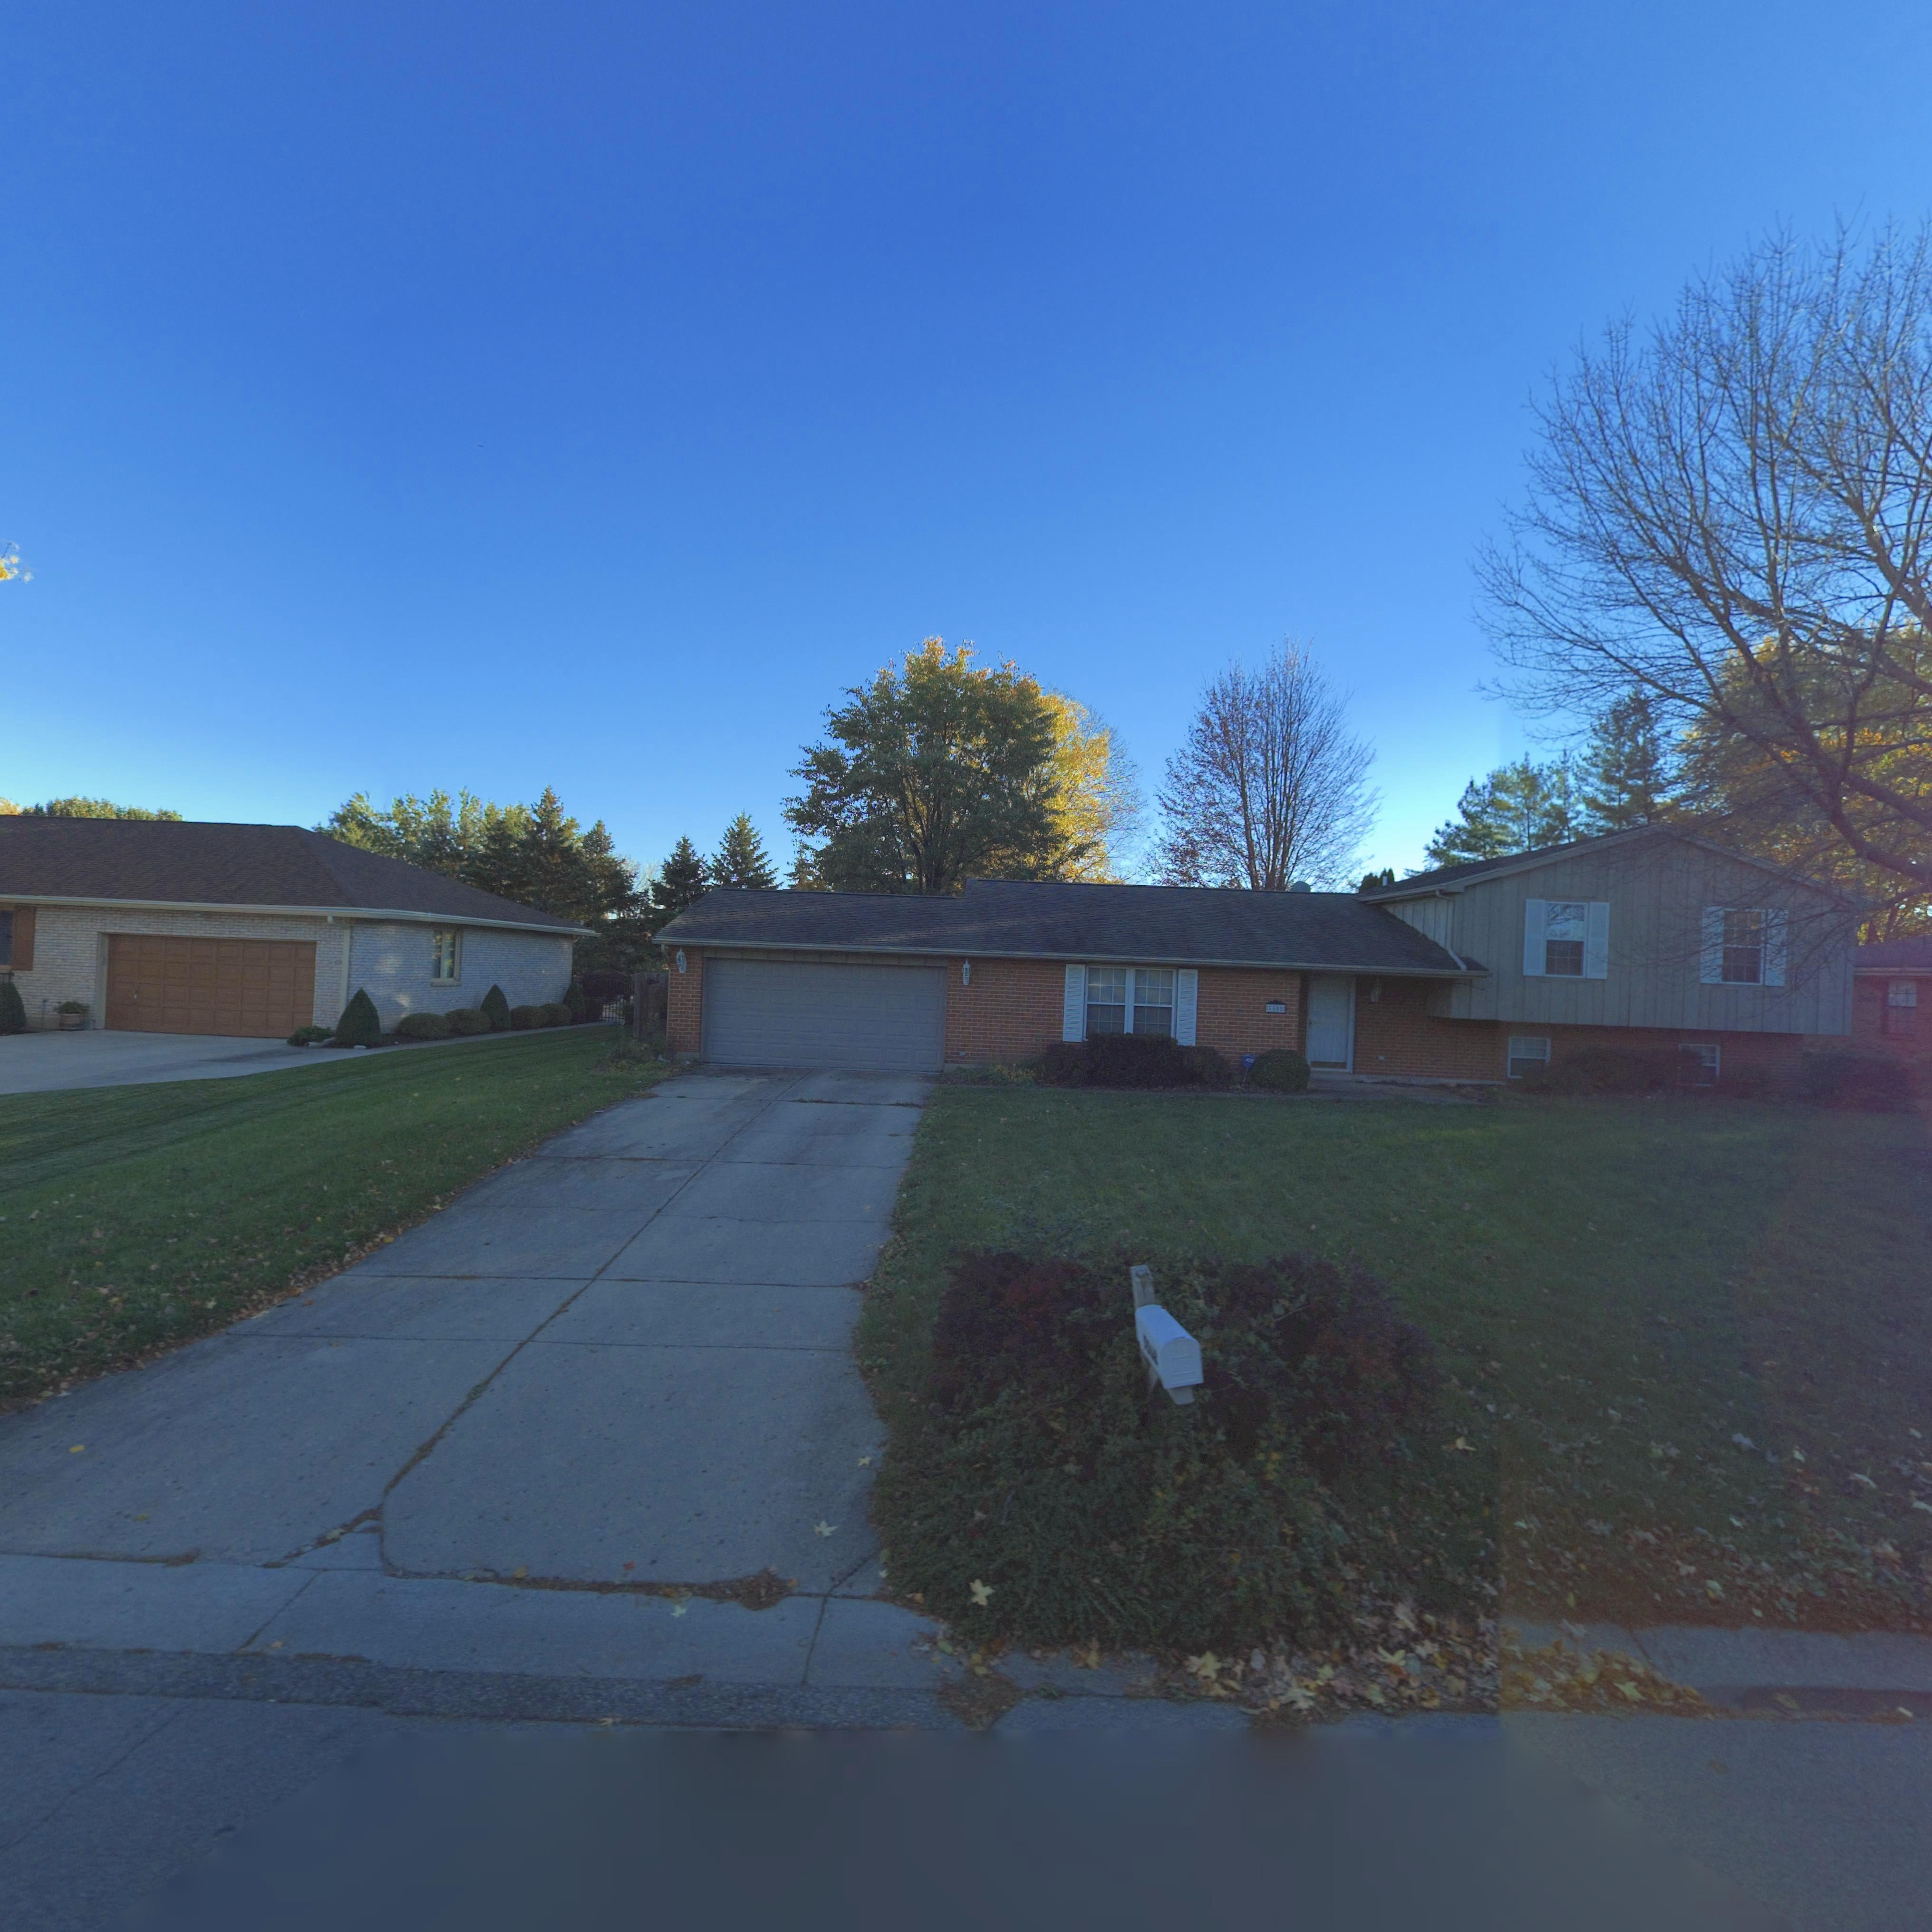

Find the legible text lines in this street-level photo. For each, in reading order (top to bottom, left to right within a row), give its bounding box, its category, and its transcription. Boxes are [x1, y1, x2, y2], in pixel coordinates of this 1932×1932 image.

[1268, 1004, 1285, 1013] StreetNumber: 5508